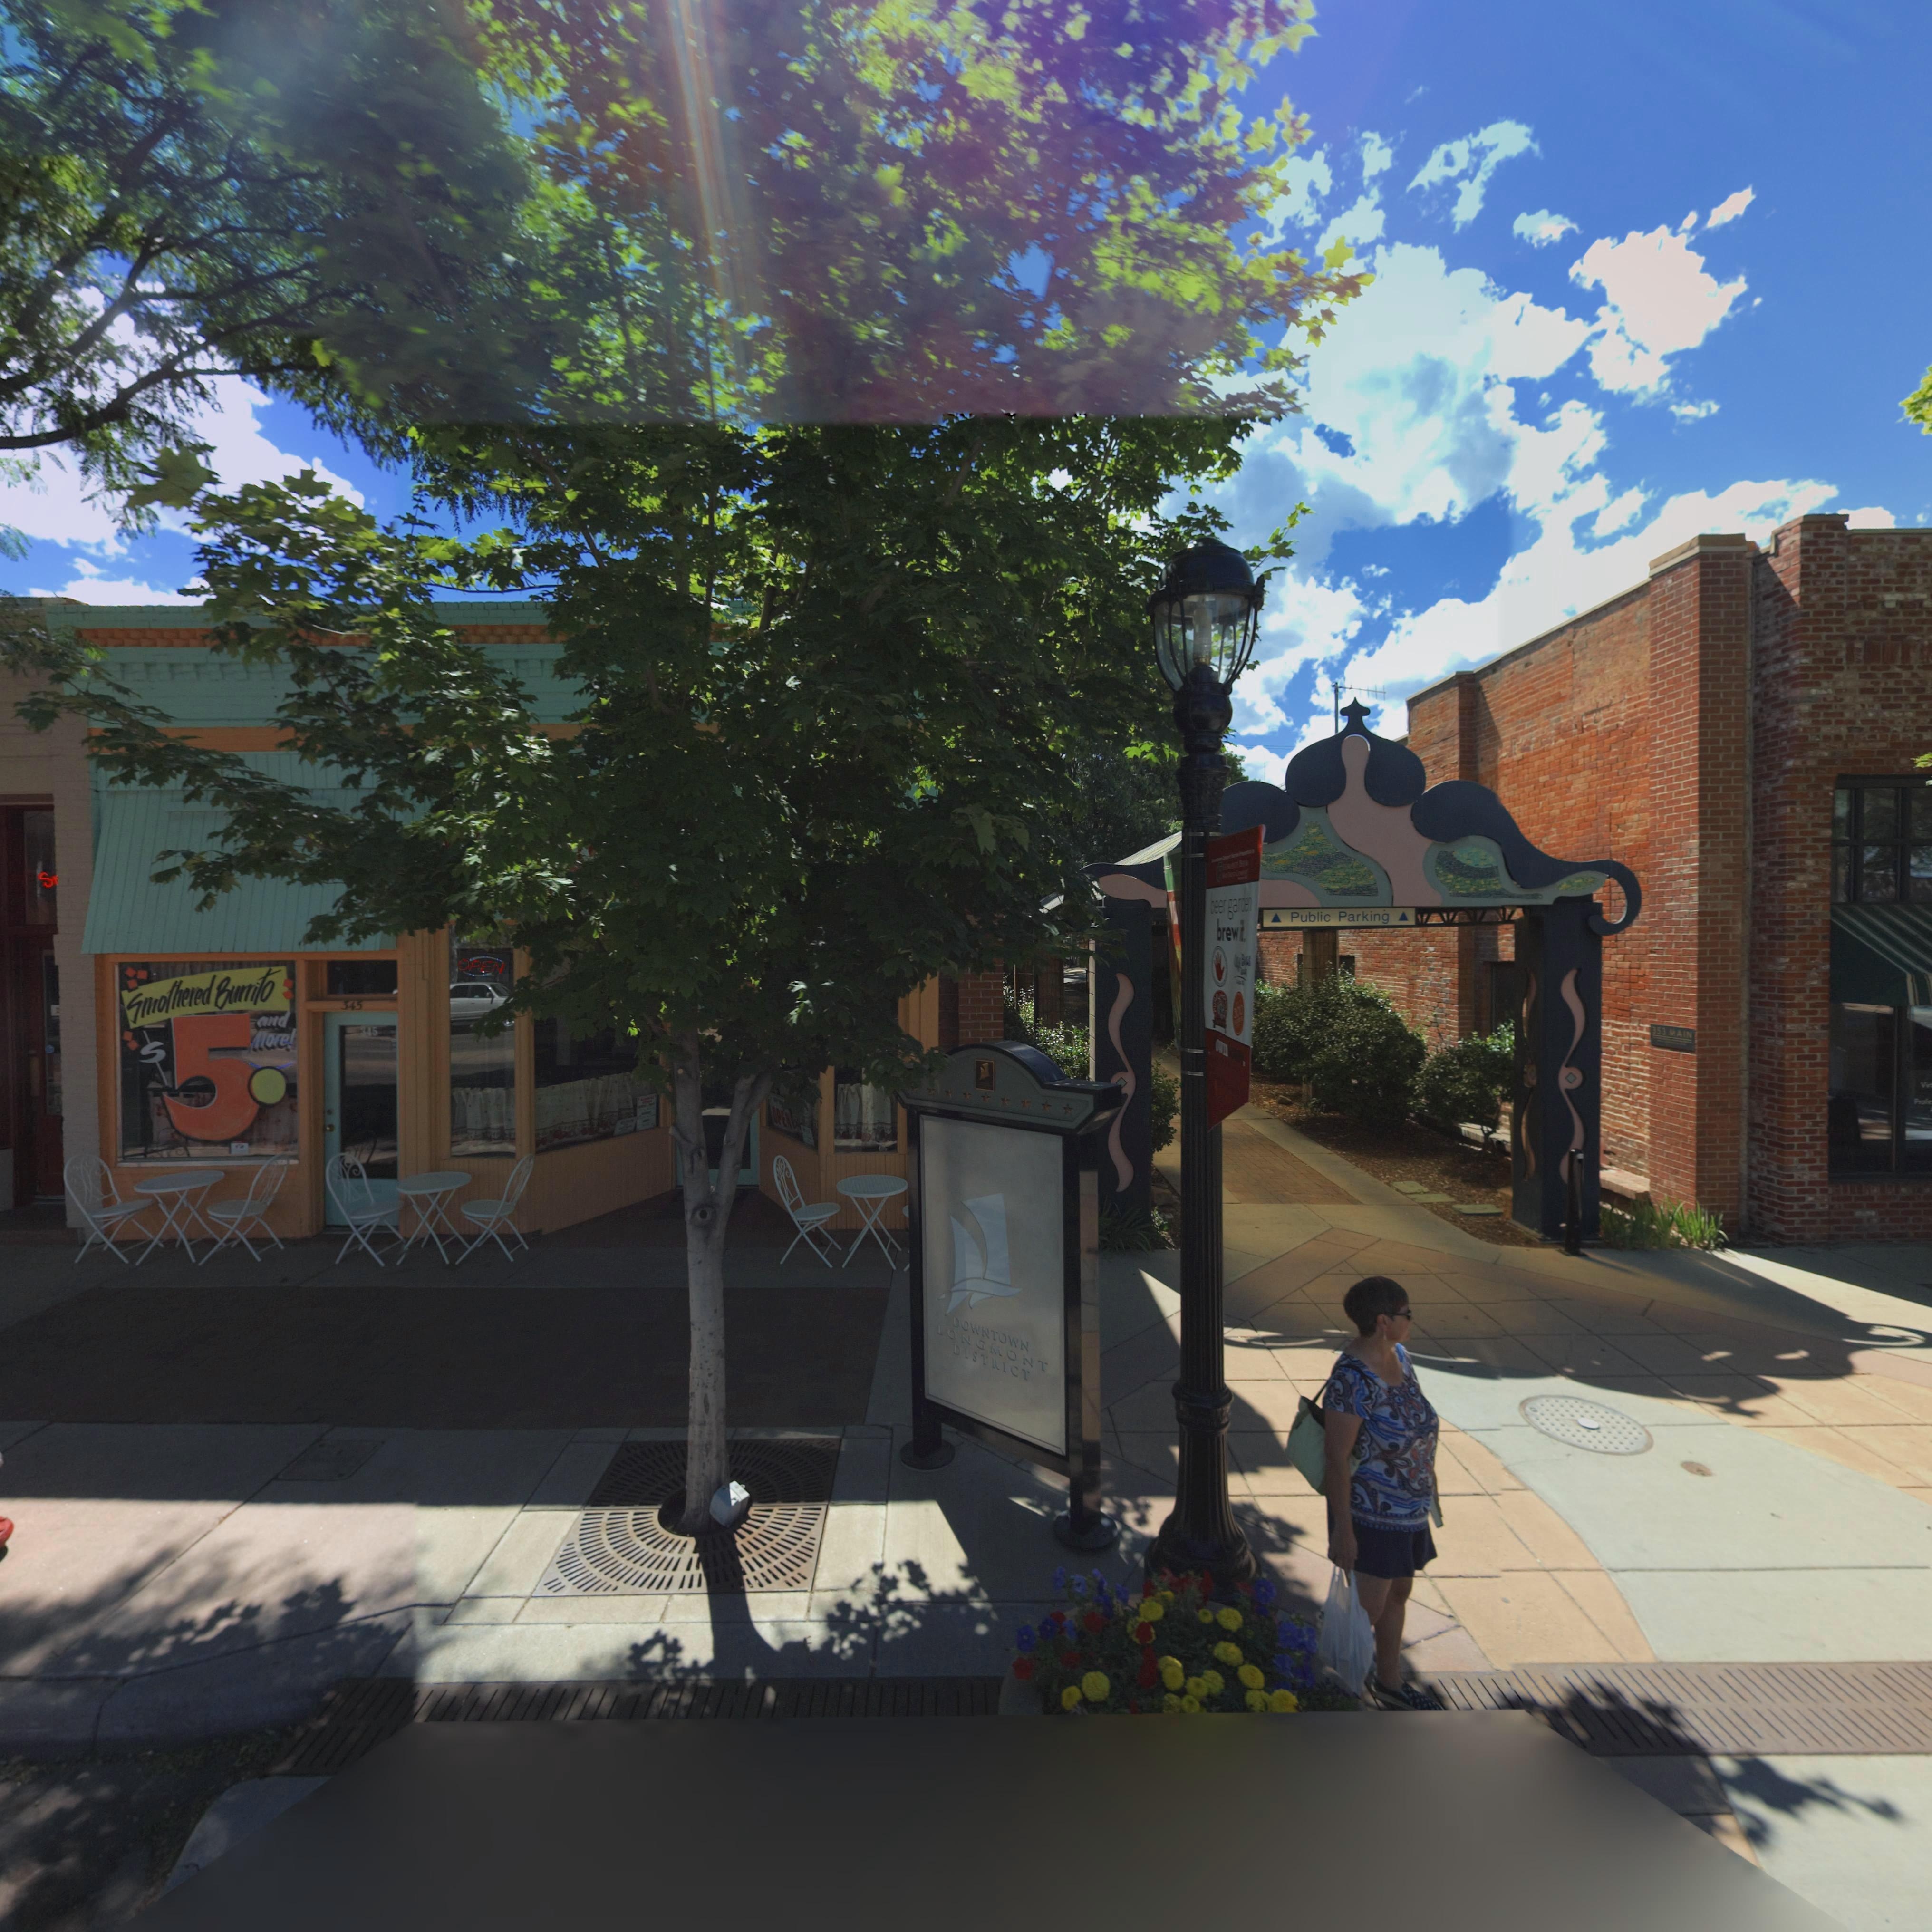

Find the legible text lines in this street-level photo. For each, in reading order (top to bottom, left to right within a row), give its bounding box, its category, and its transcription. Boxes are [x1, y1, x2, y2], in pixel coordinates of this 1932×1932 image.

[340, 1000, 363, 1010] StreetNumber: 345
[359, 1026, 378, 1036] StreetNumber: 345
[1652, 1025, 1666, 1035] StreetNumber: 353
[1669, 1028, 1692, 1038] StreetName: MAIN